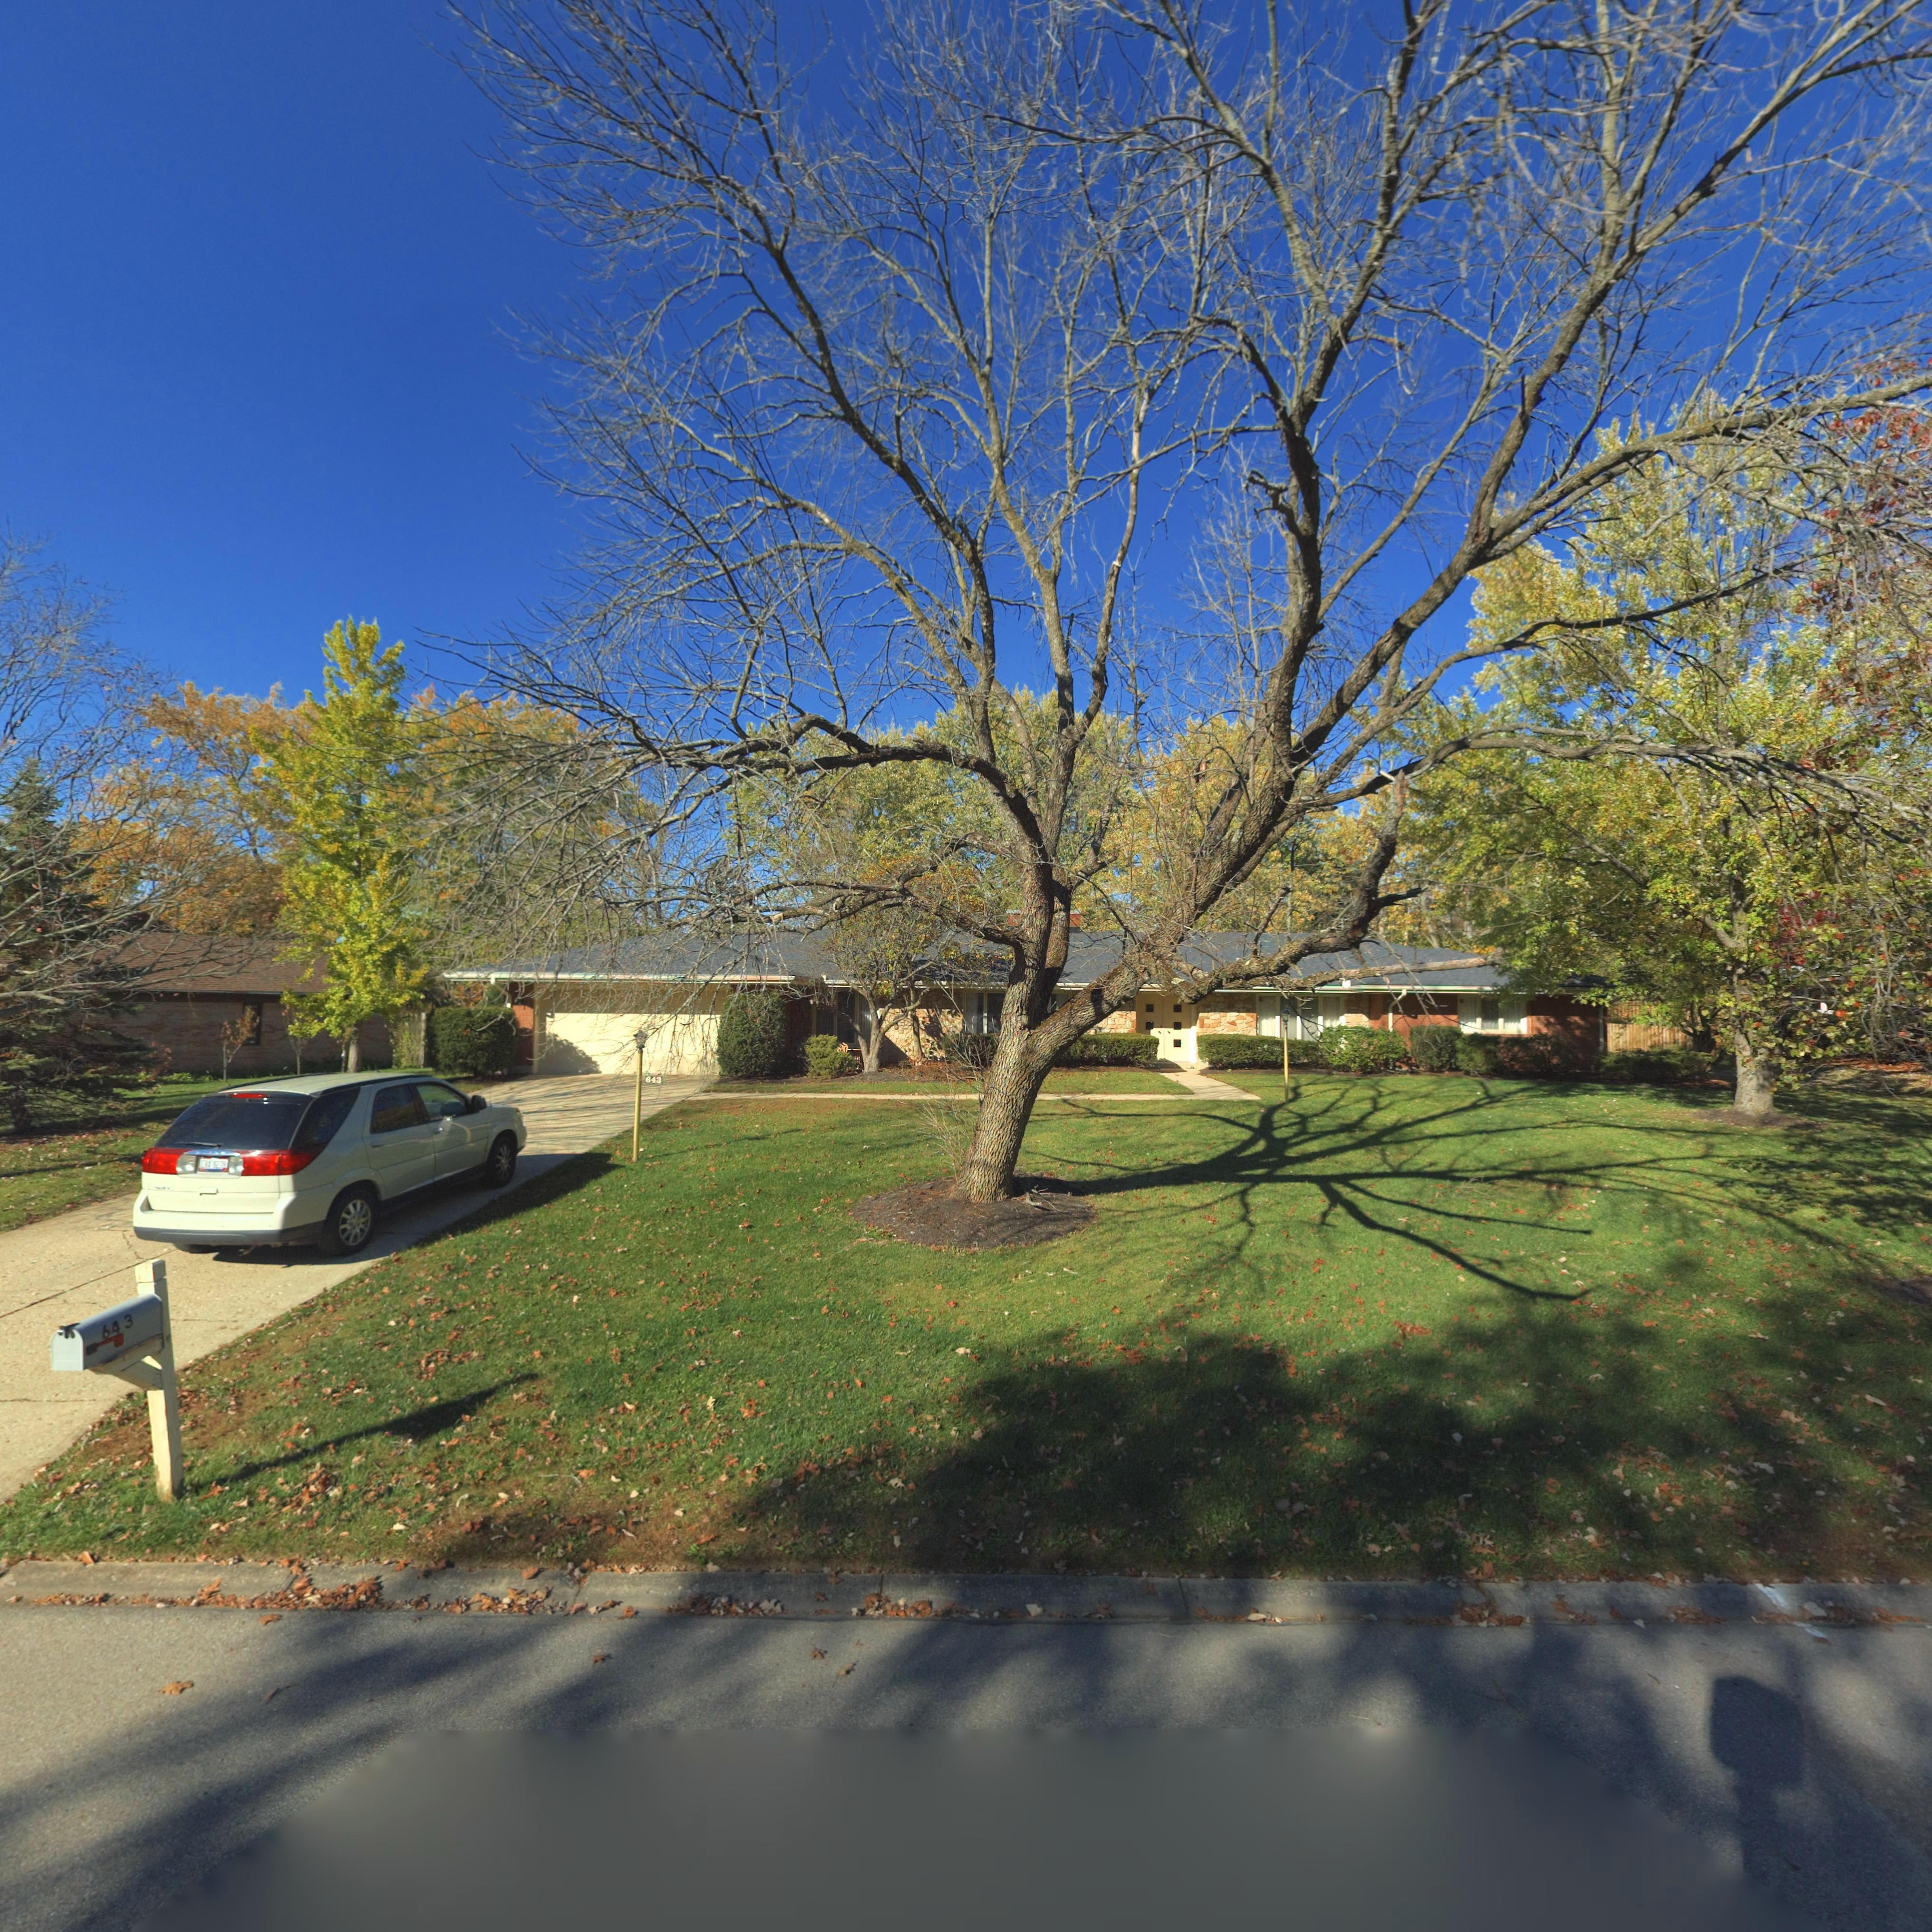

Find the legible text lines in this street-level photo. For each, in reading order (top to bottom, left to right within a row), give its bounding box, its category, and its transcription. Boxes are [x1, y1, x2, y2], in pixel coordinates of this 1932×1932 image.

[644, 1075, 662, 1083] StreetNumber: 643
[100, 1312, 135, 1342] StreetNumber: 643